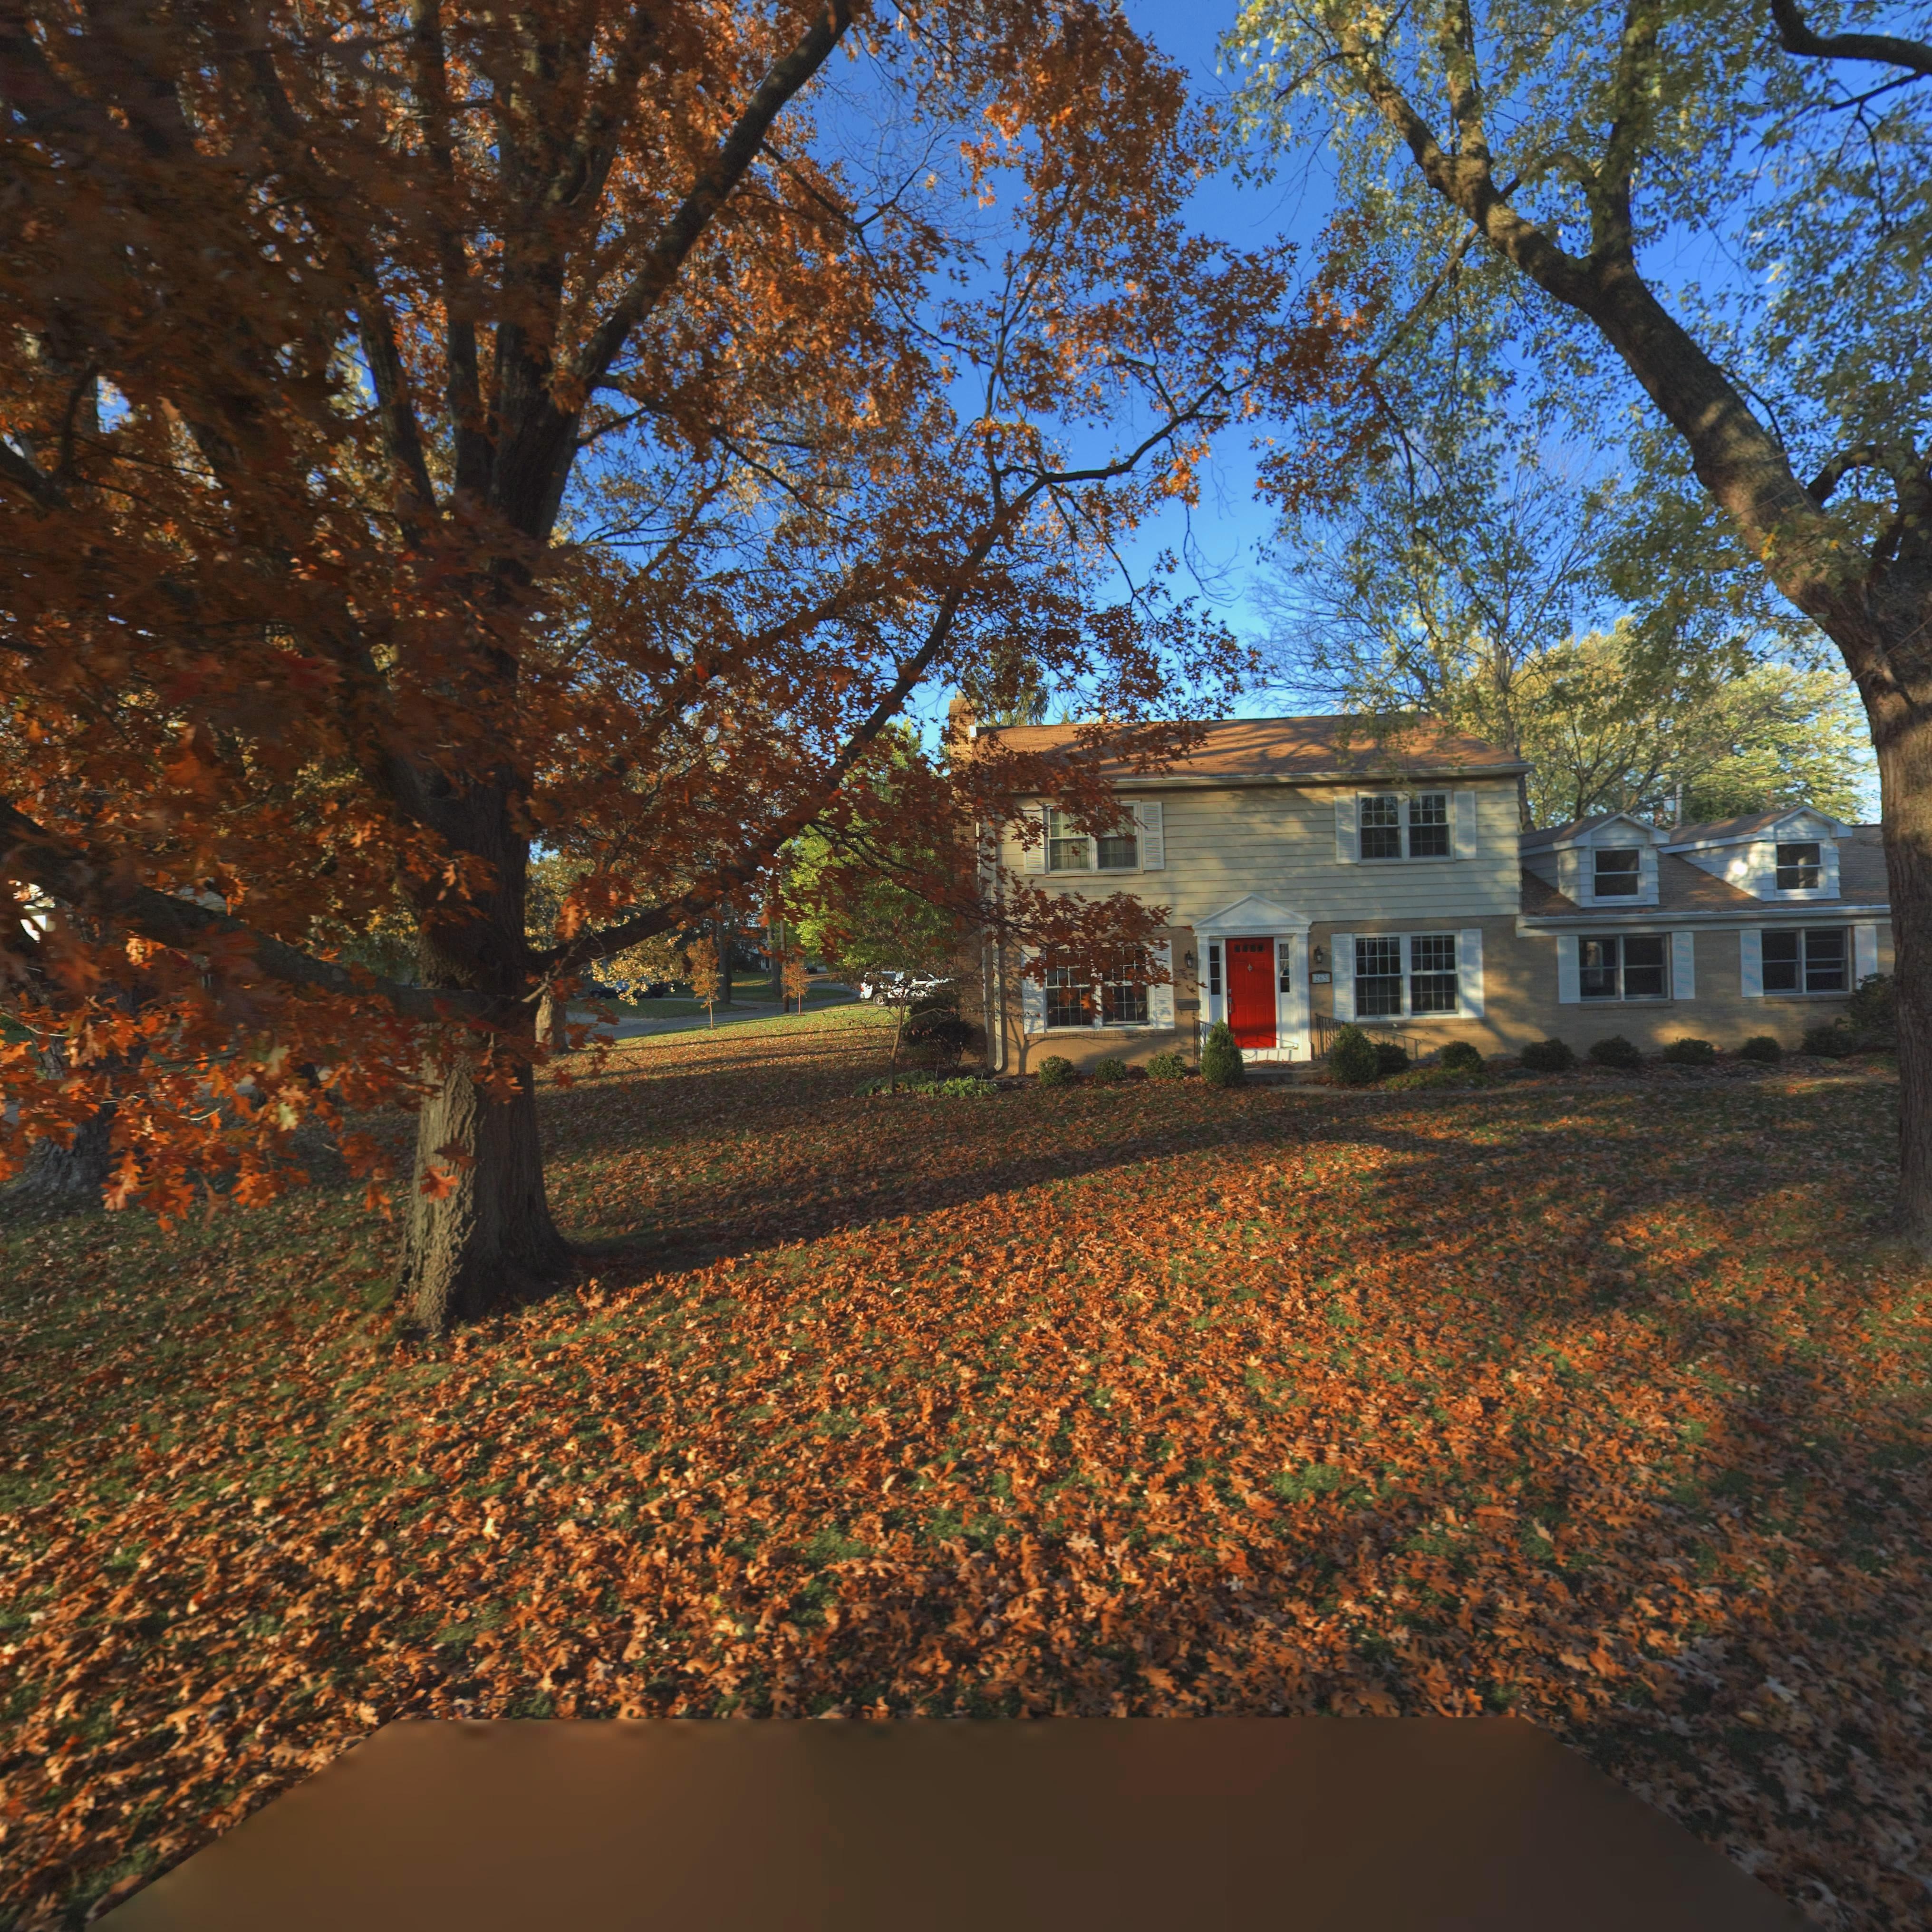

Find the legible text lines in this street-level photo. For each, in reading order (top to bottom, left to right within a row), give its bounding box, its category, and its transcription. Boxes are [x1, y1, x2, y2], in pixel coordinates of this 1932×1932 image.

[1314, 975, 1327, 982] StreetNumber: 265